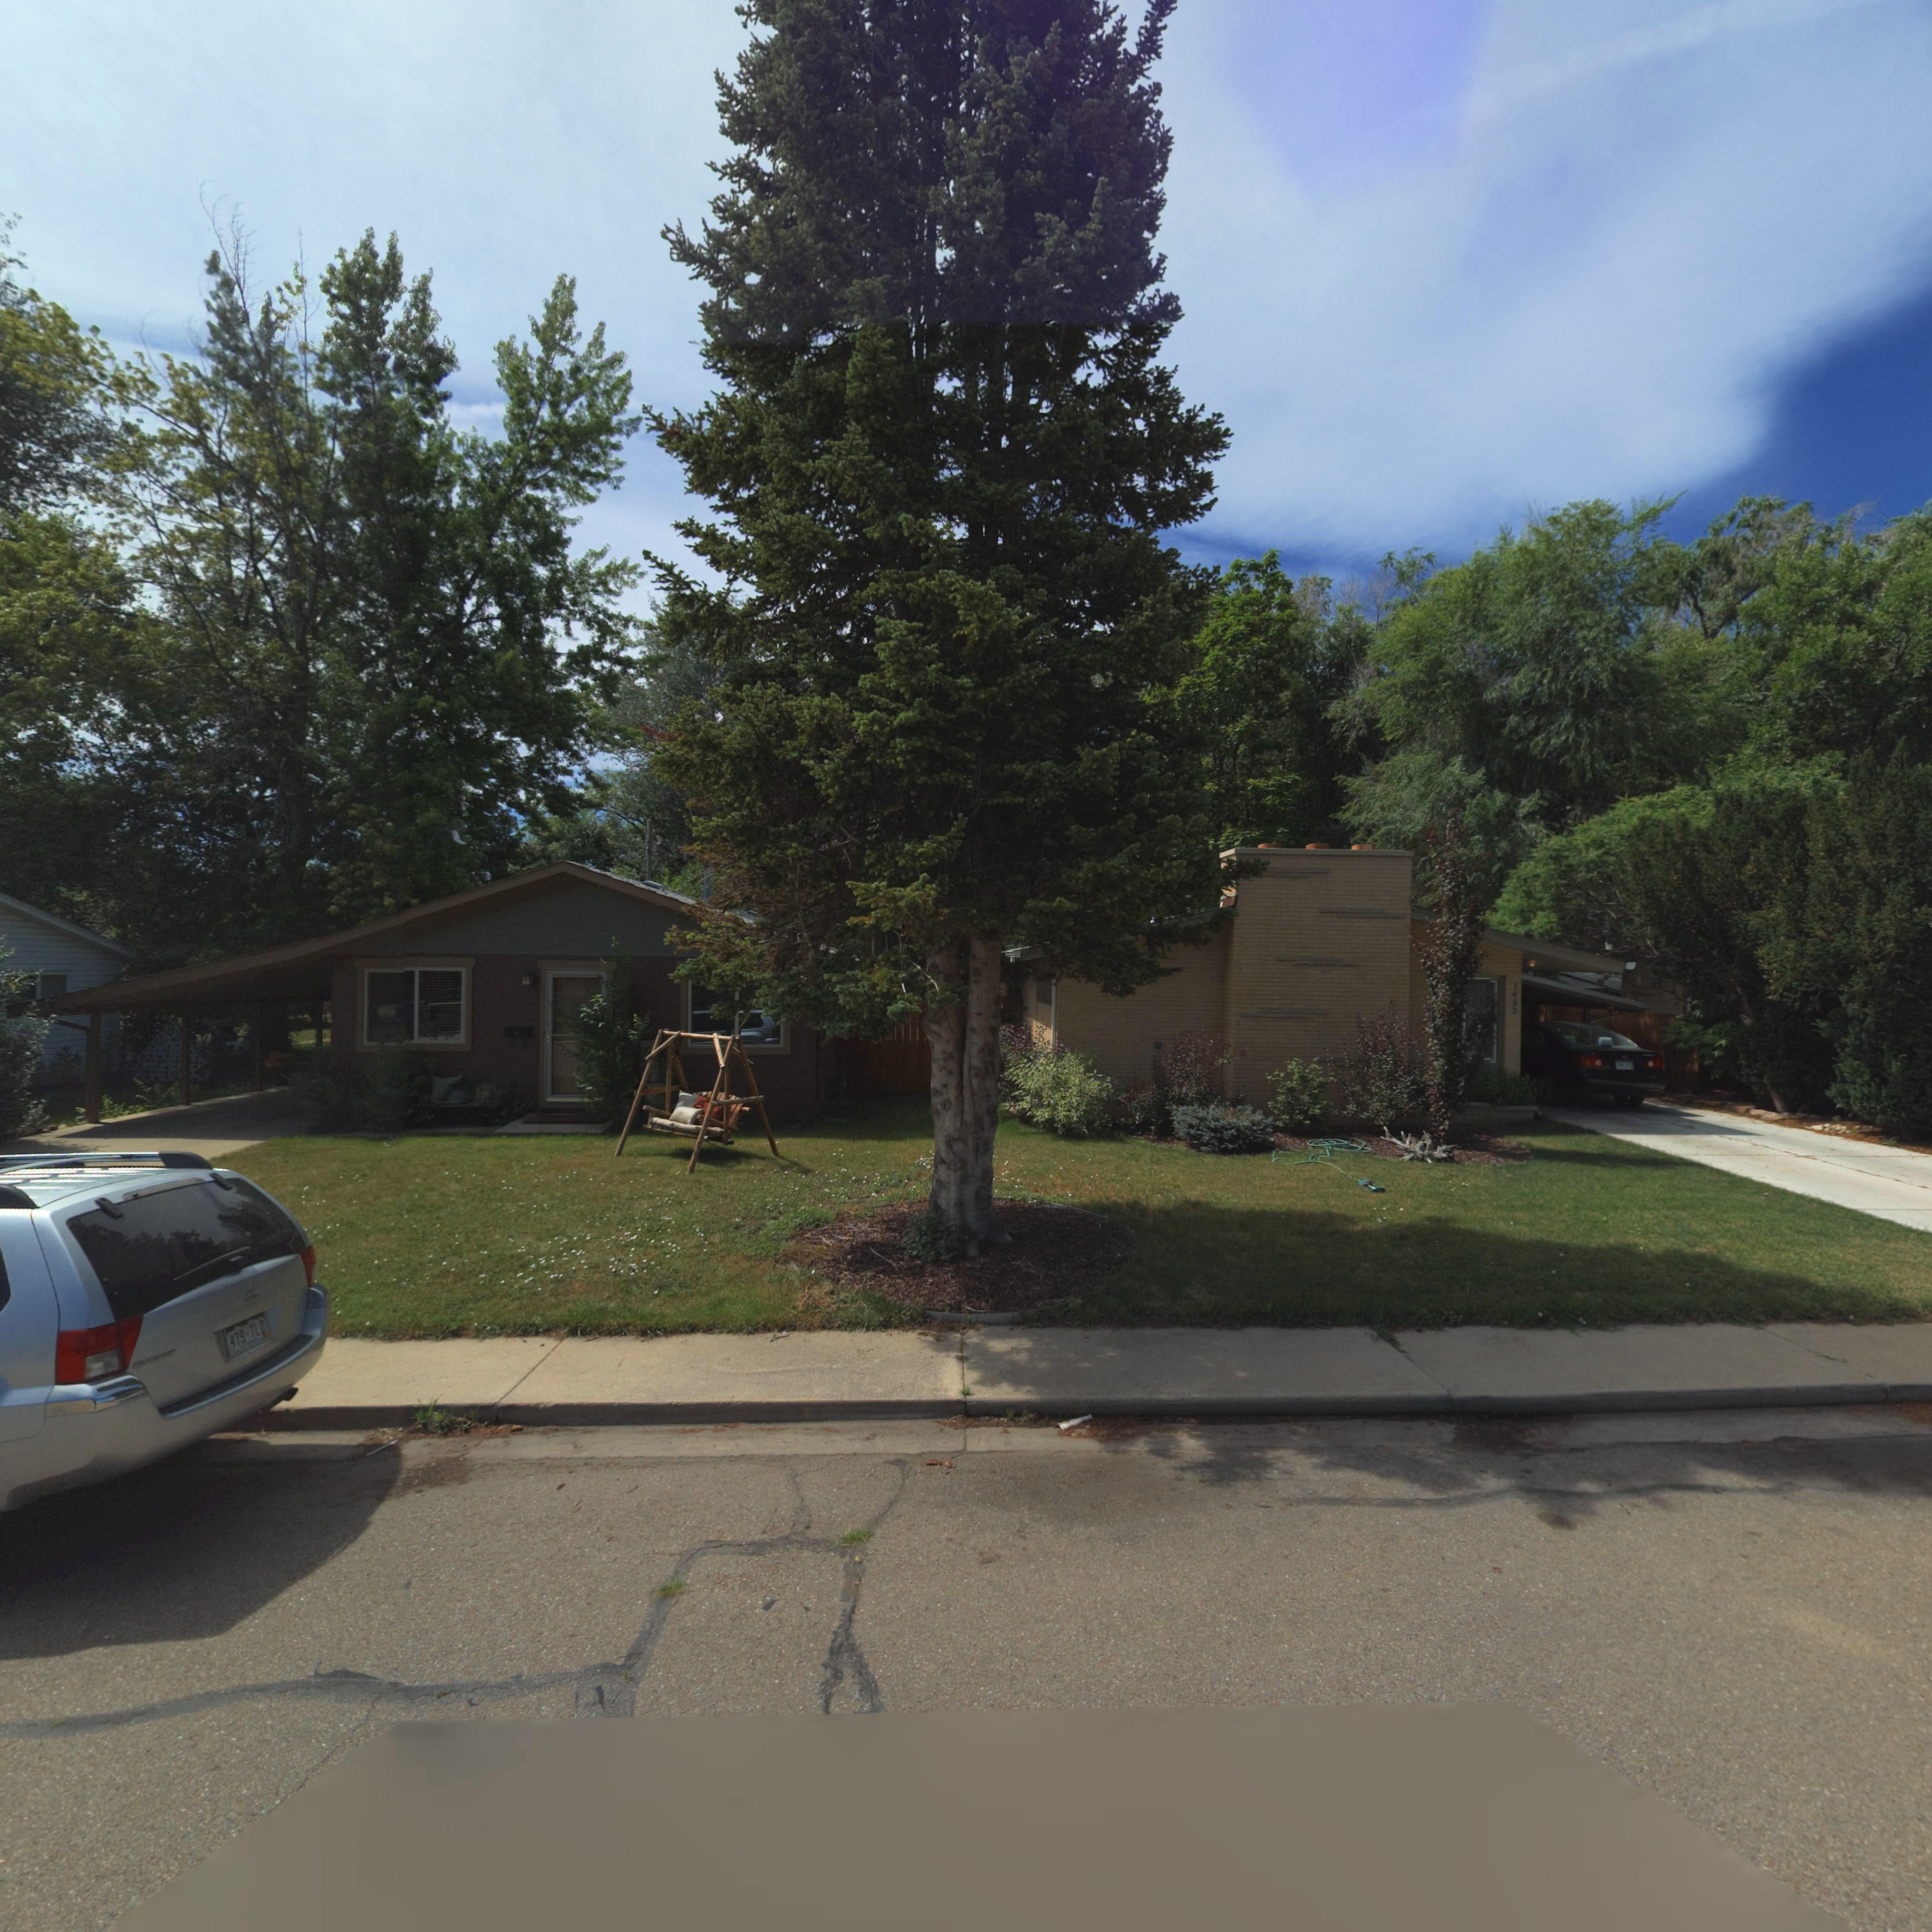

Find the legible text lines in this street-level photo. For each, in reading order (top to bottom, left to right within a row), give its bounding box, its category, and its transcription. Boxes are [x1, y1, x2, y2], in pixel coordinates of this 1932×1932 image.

[1512, 983, 1517, 1014] StreetNumber: 1433